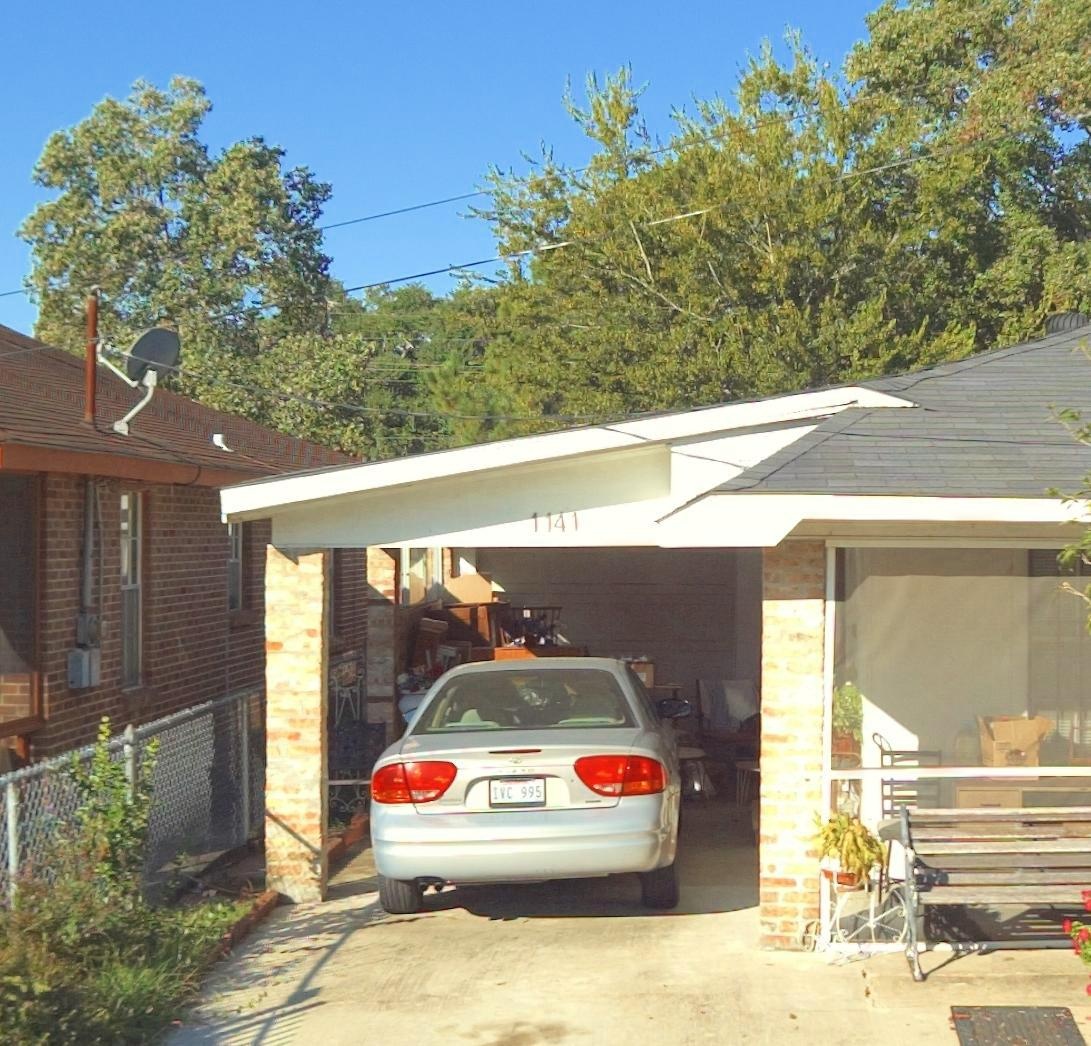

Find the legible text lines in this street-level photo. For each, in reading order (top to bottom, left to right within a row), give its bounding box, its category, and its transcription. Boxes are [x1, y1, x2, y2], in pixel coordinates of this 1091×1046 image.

[529, 509, 581, 534] StreetNumber: 1141
[492, 784, 543, 801] None: IVC 995